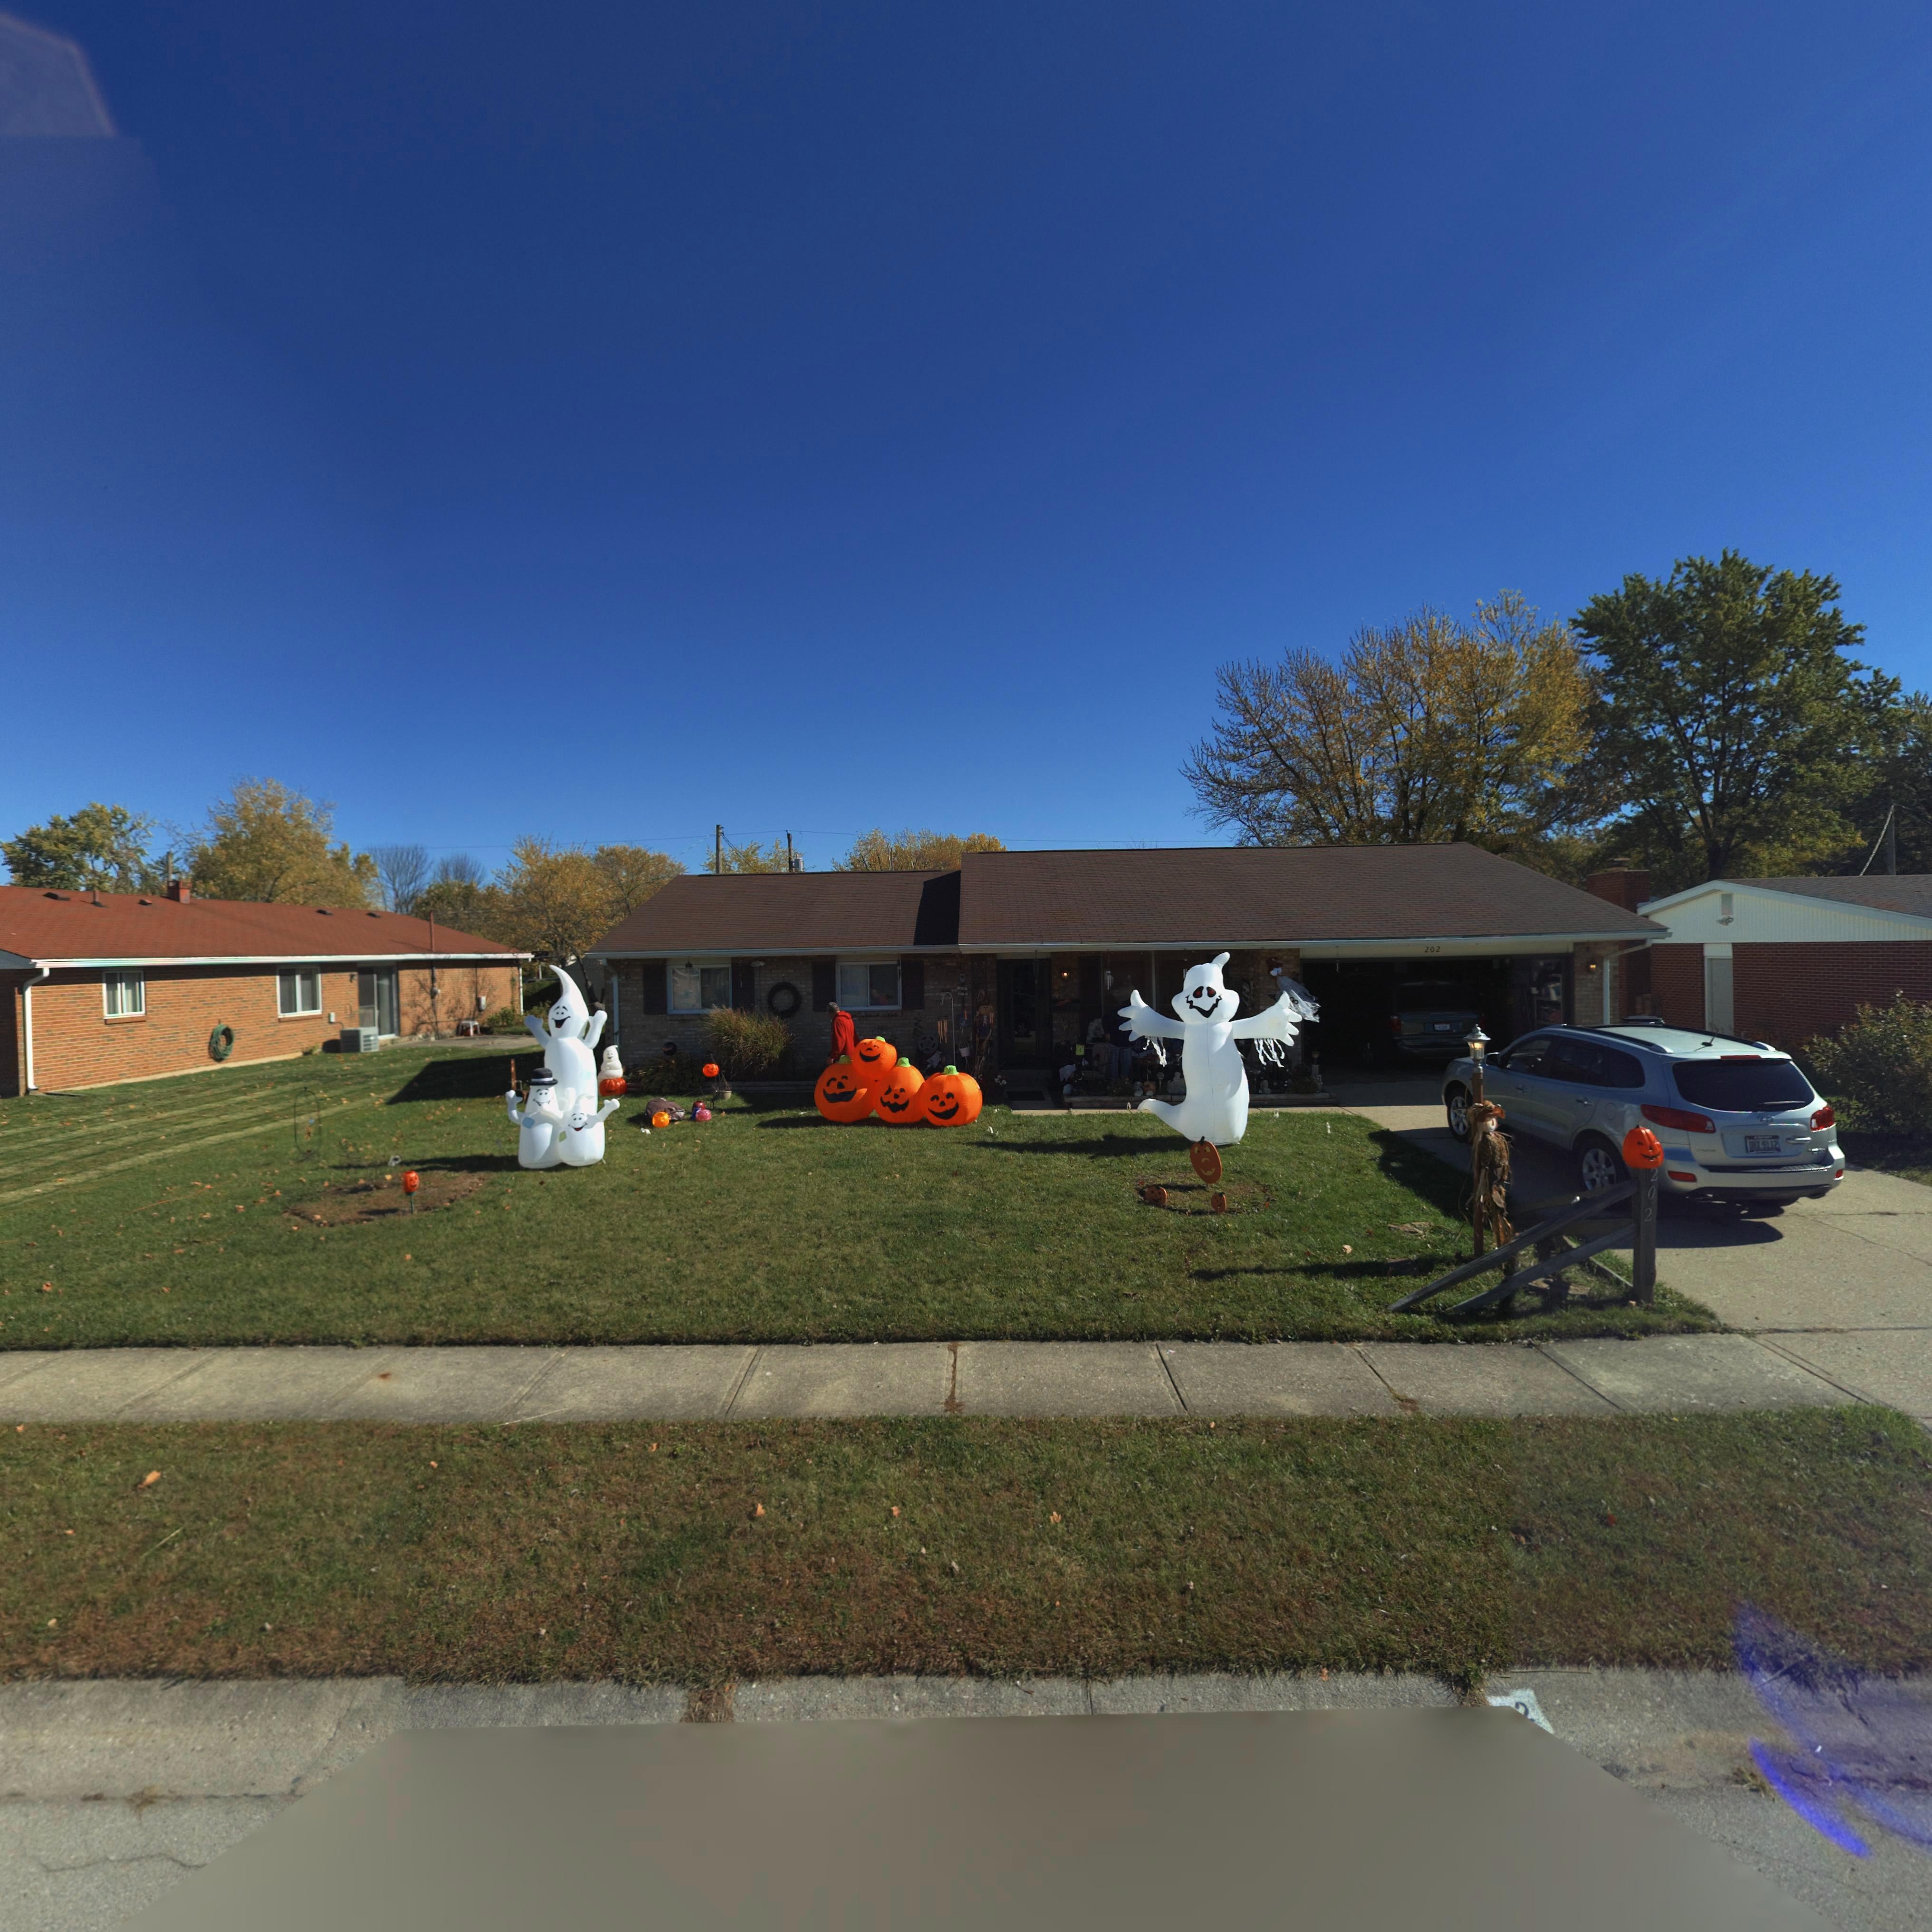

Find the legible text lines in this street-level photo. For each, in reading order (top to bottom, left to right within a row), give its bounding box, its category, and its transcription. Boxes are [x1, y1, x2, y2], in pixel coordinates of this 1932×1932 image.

[1424, 946, 1440, 953] StreetNumber: 202
[1642, 1166, 1659, 1222] StreetNumber: 202
[1511, 1699, 1536, 1725] StreetNumber: 2